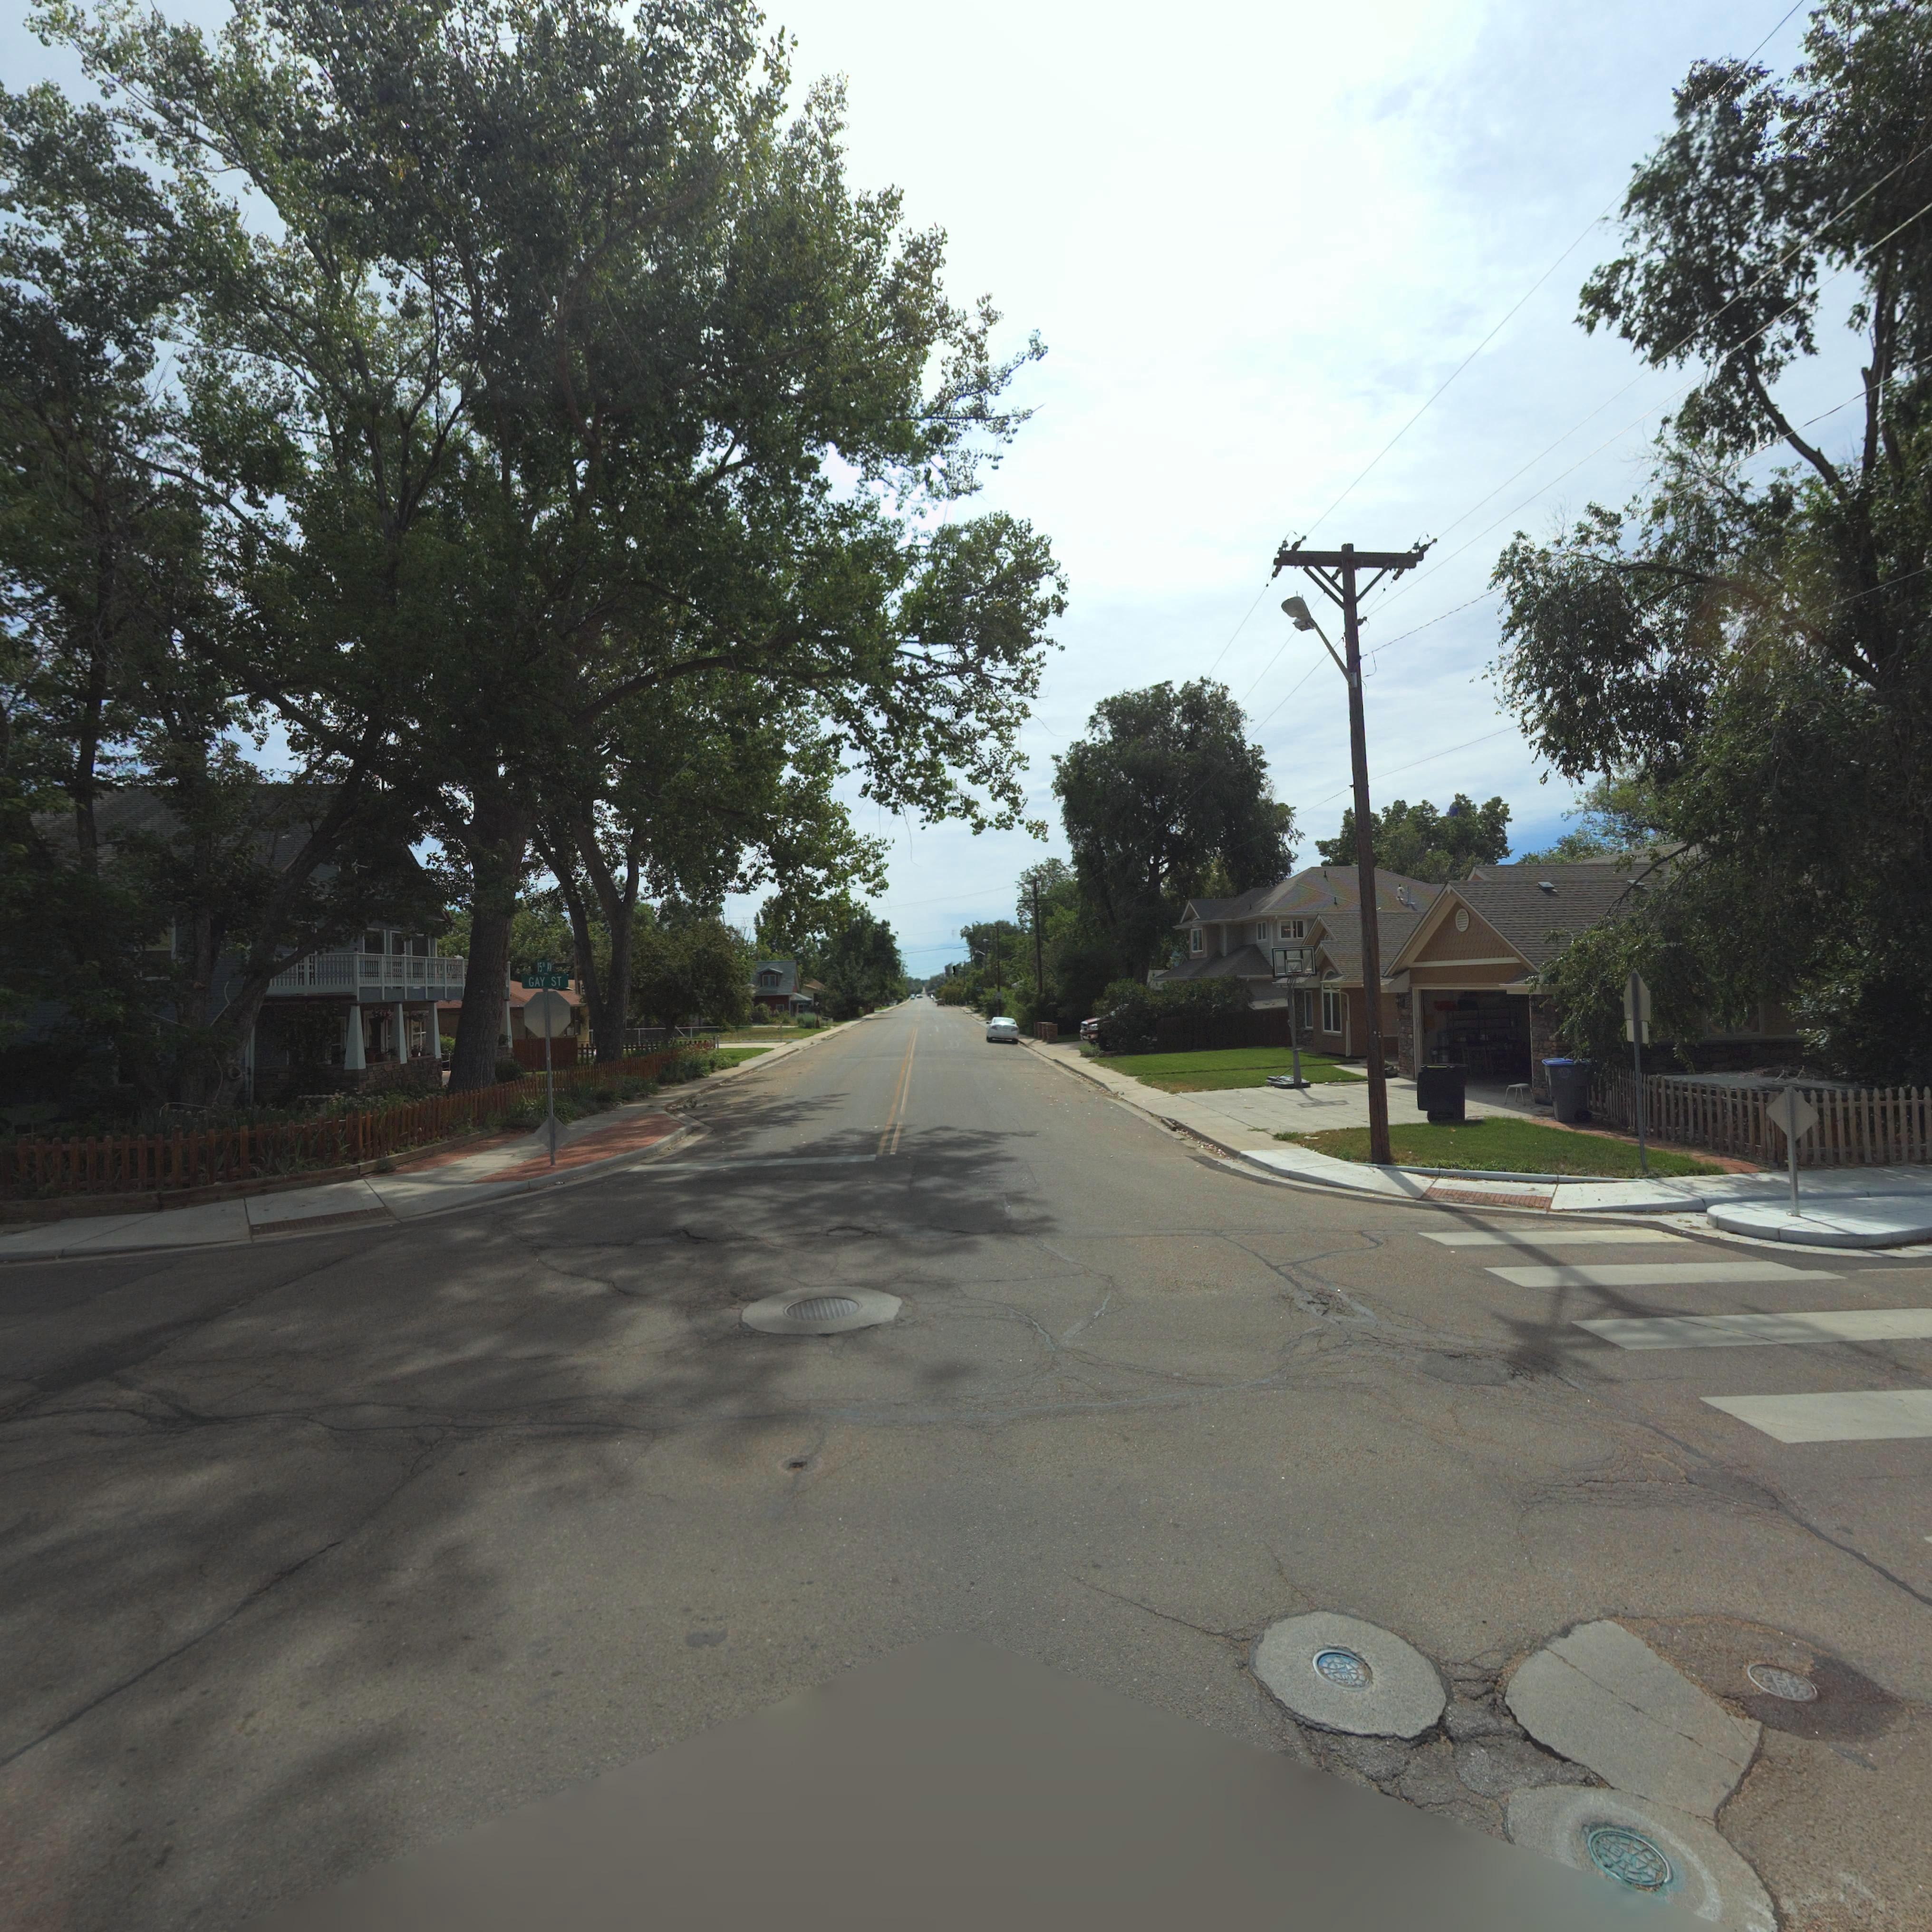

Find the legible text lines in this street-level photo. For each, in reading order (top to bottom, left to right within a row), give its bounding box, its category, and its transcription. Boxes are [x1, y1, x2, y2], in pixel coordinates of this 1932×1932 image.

[538, 962, 551, 972] StreetName: 15TH AV
[528, 976, 561, 987] StreetName: GAY ST